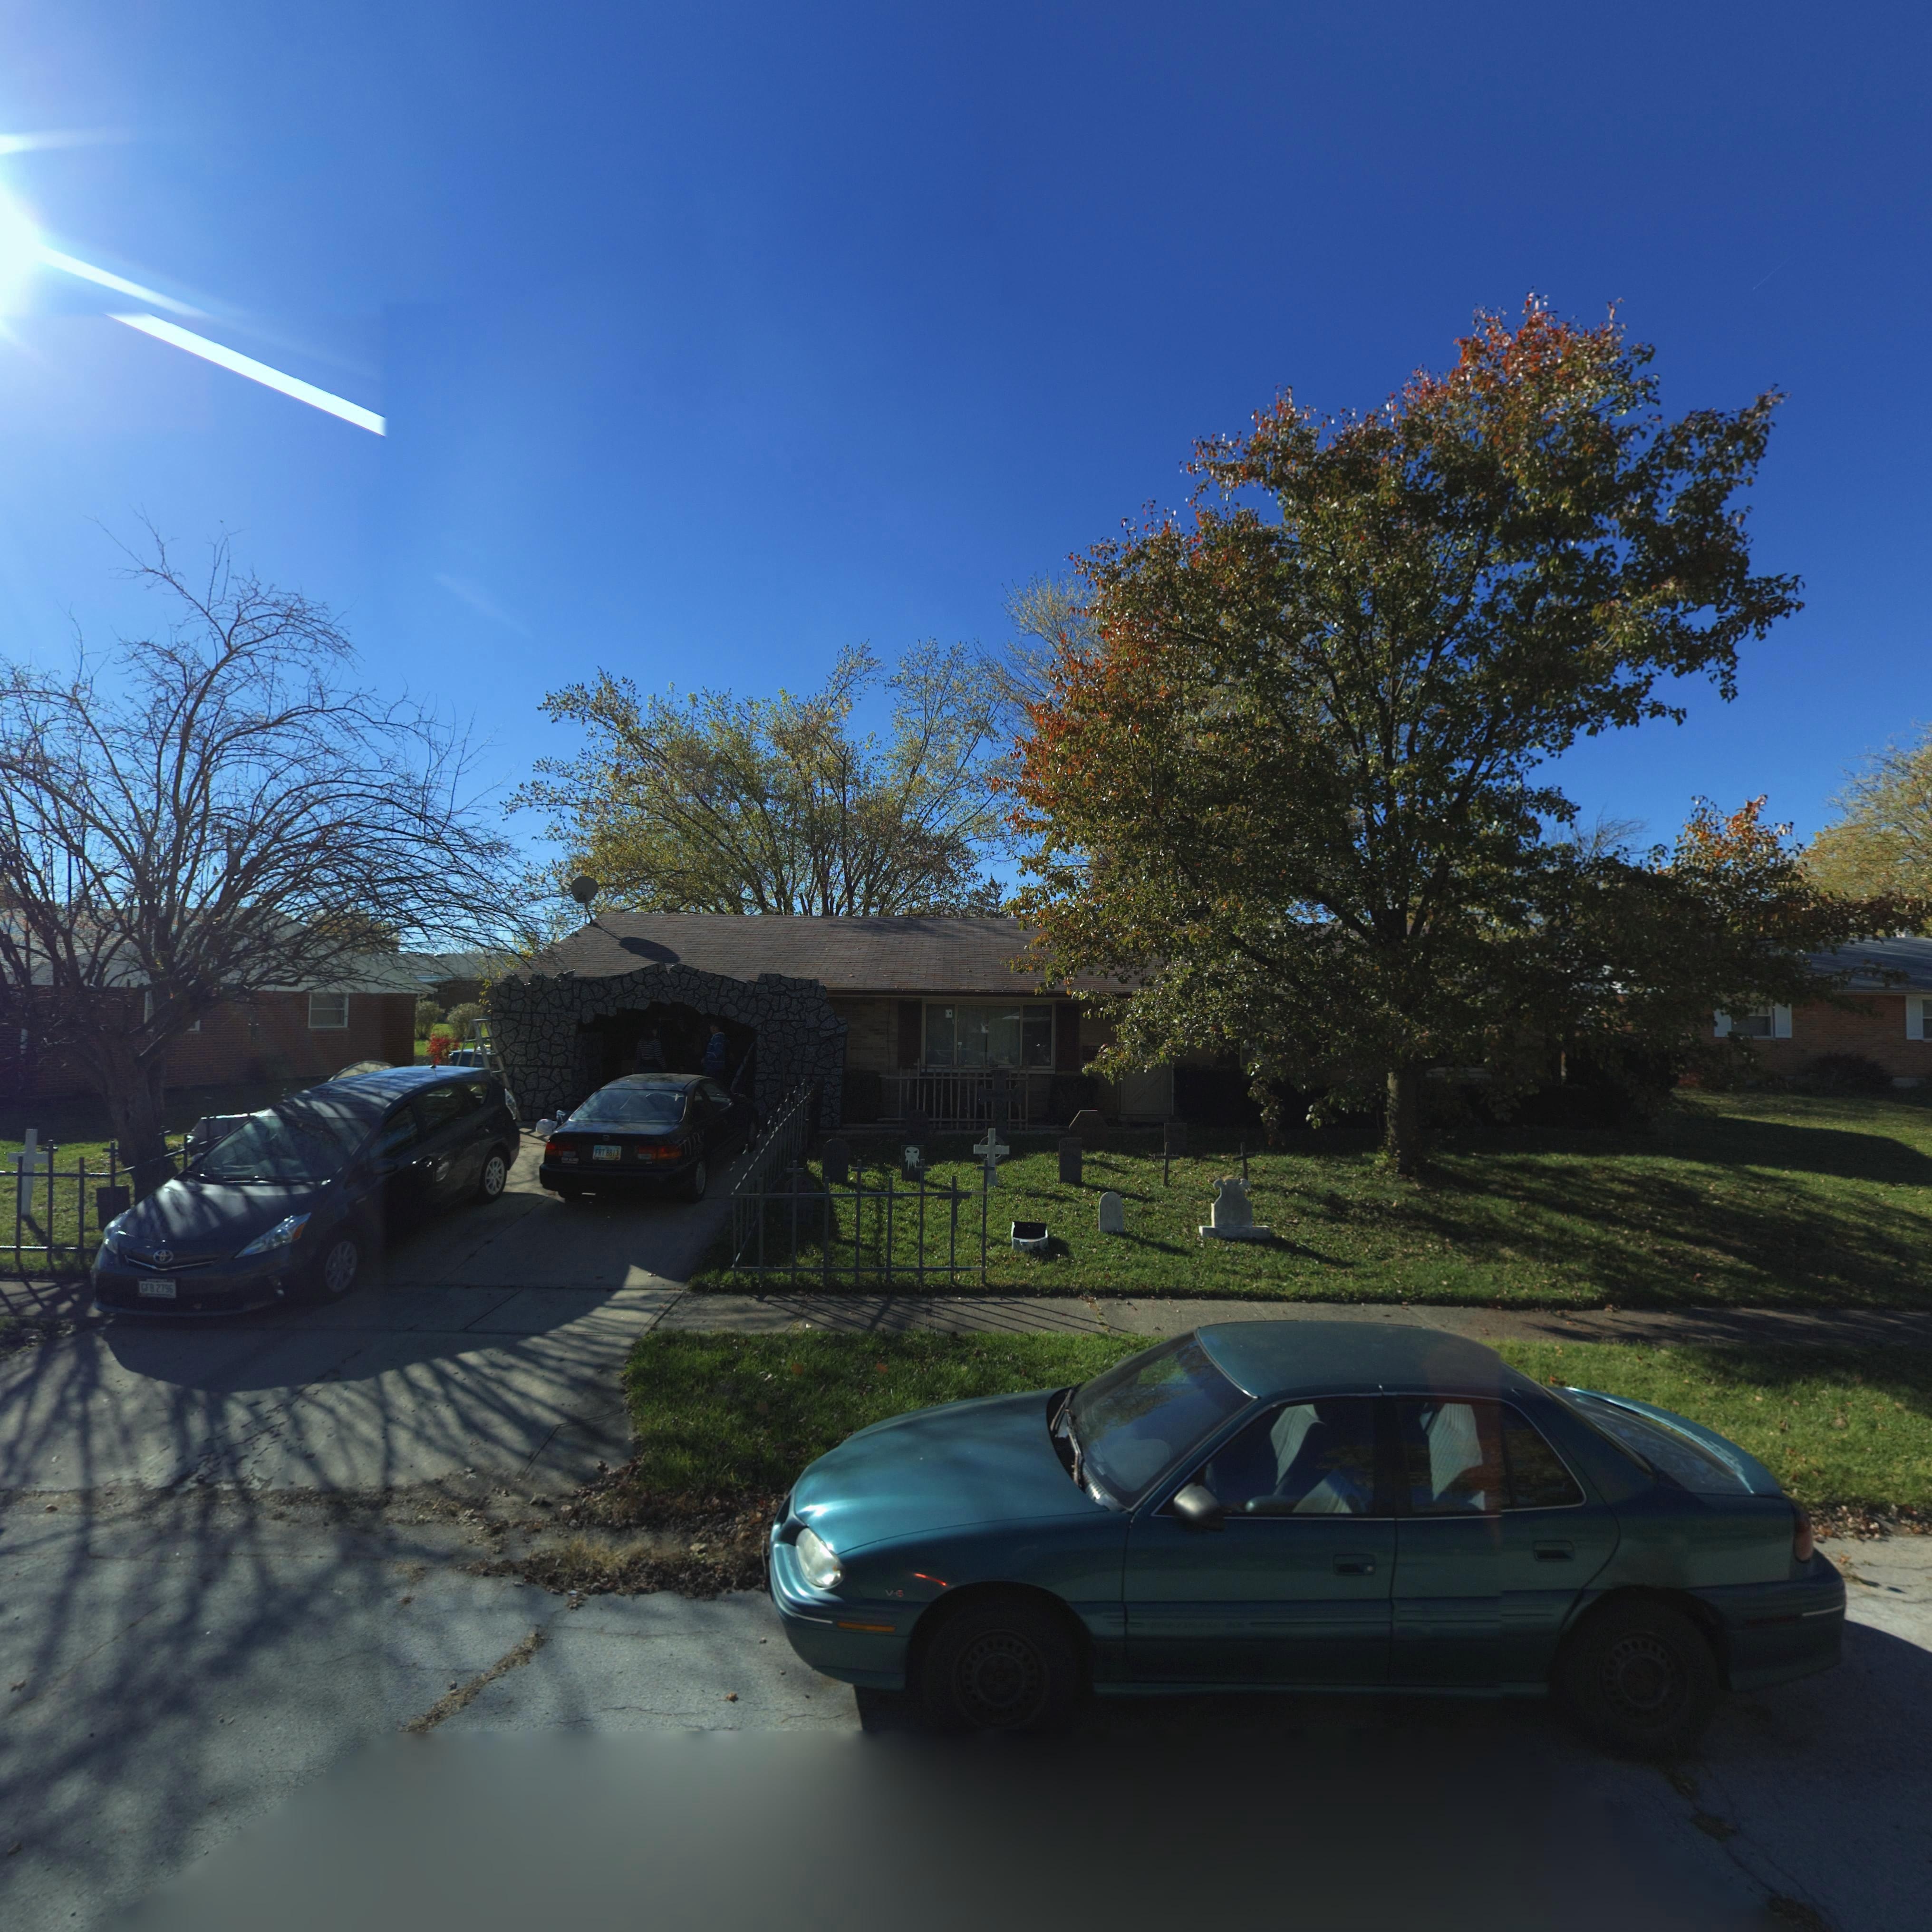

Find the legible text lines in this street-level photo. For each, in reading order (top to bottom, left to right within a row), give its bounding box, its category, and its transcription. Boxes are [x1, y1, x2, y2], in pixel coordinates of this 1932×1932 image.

[1088, 1047, 1100, 1051] StreetNumber: 6***
[594, 1148, 619, 1157] None: FRT*8813
[140, 1282, 174, 1294] None: GFB*2796
[884, 1588, 906, 1599] None: V6